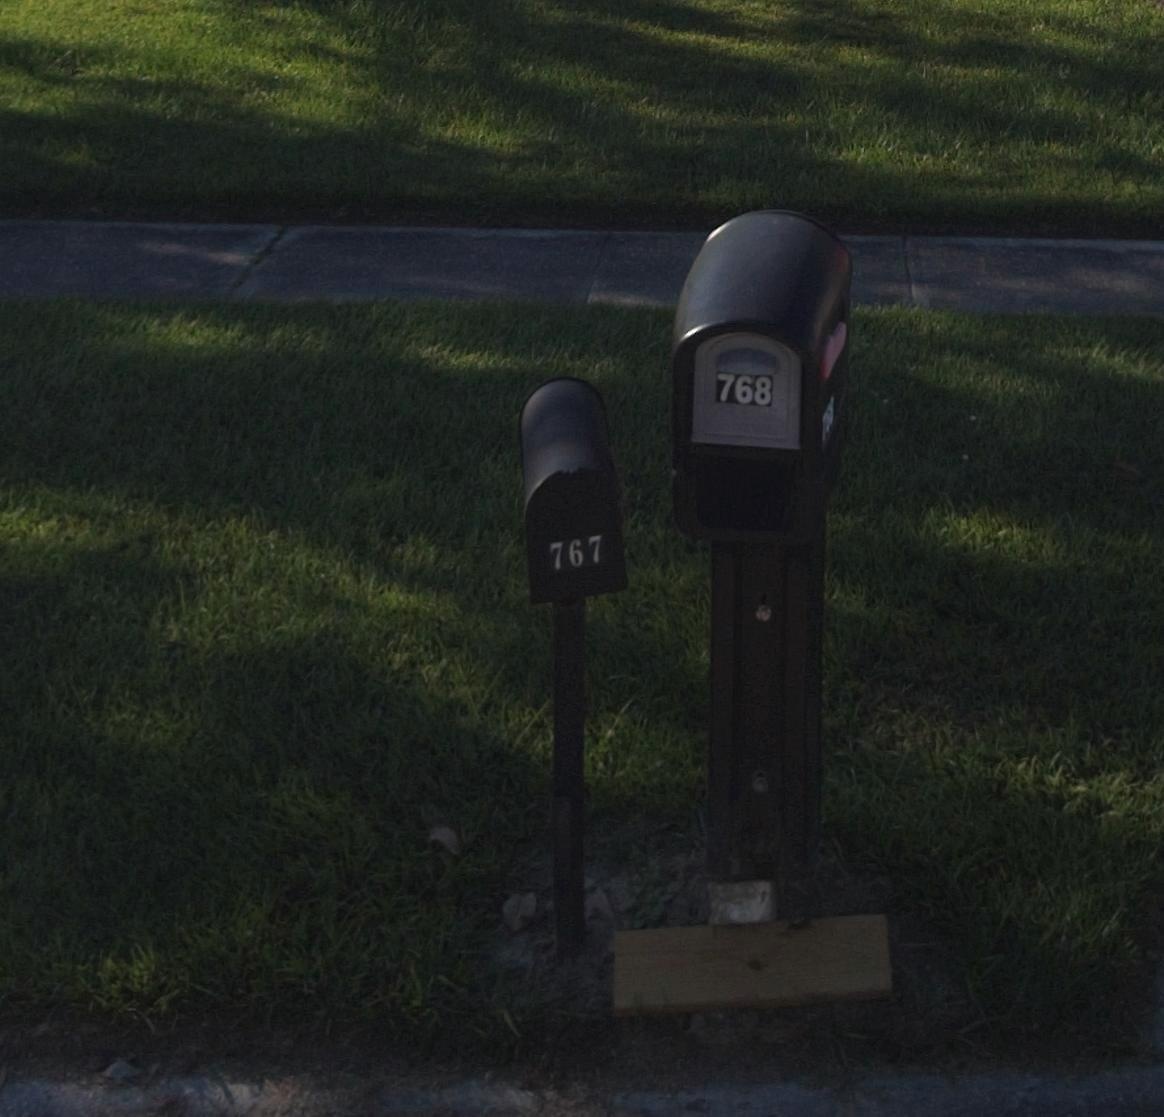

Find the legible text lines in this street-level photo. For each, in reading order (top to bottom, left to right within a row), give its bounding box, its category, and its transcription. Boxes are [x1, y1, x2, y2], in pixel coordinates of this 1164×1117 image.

[715, 373, 773, 407] StreetNumber: 768
[548, 533, 603, 572] StreetNumber: 767